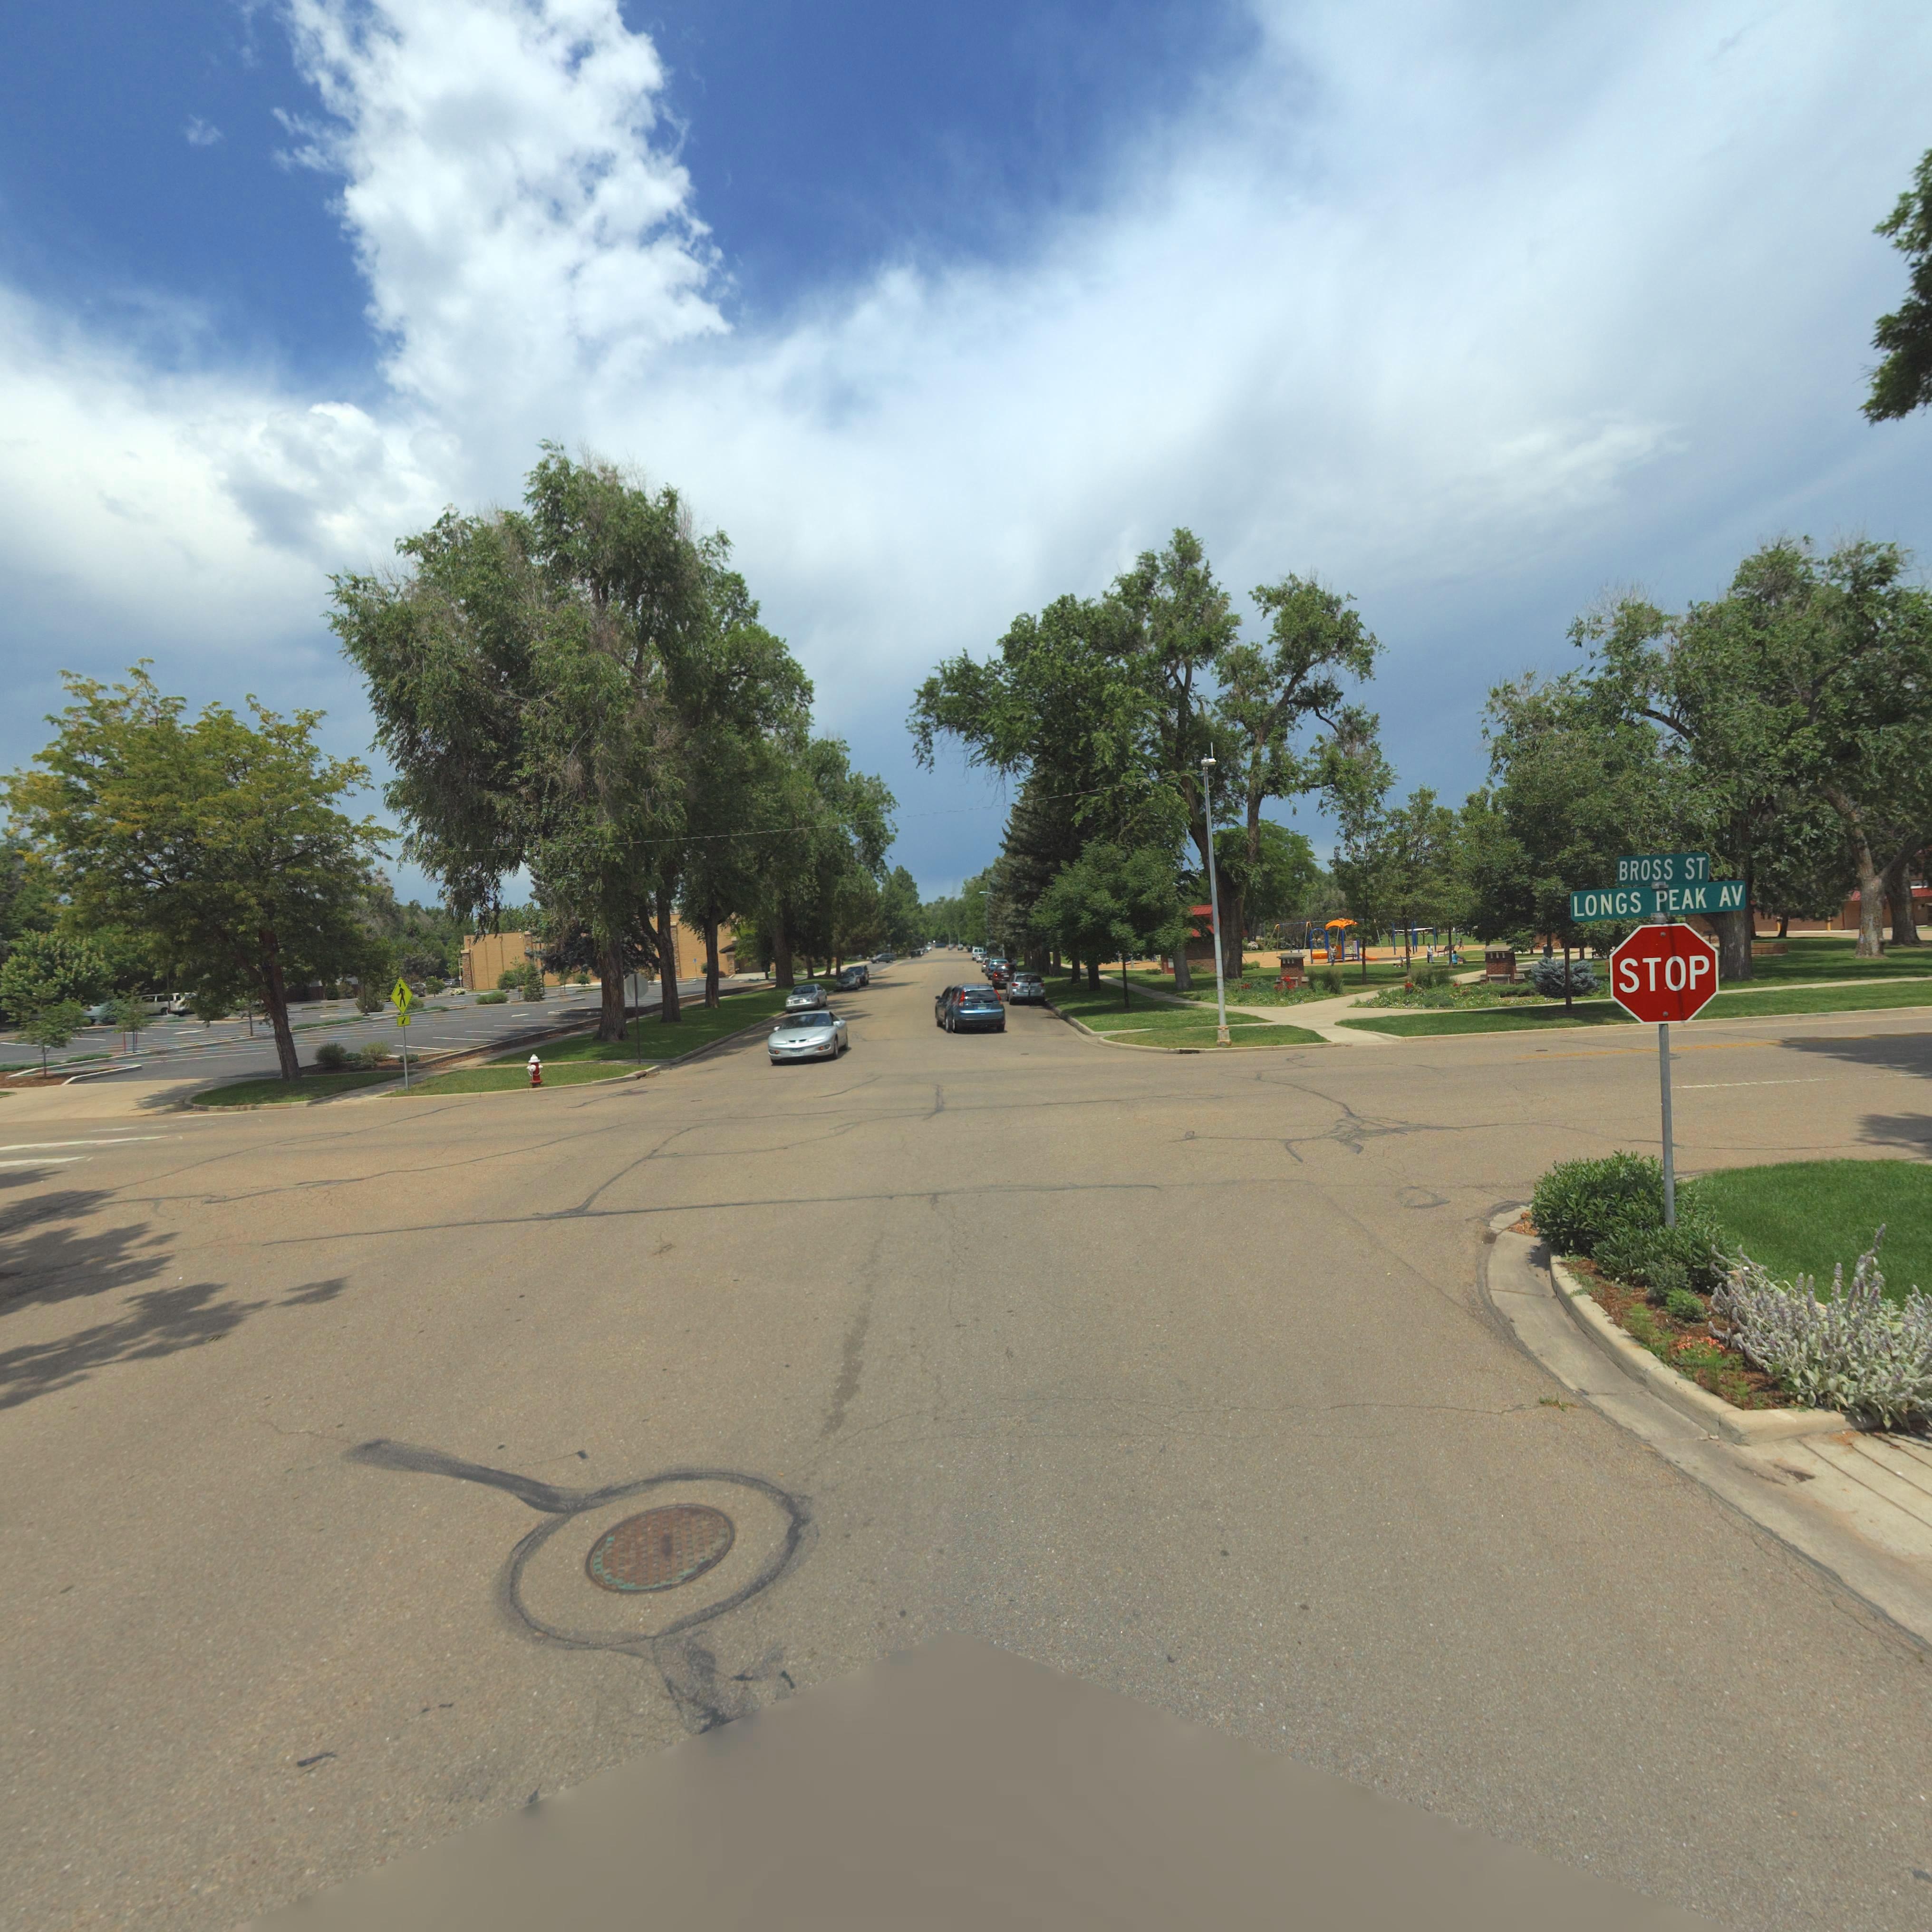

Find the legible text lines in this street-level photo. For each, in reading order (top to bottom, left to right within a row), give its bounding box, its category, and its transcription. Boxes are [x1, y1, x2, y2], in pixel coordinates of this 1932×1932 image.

[1619, 857, 1706, 881] StreetName: BROSS ST
[1573, 884, 1743, 917] StreetName: LONG PEAK AV